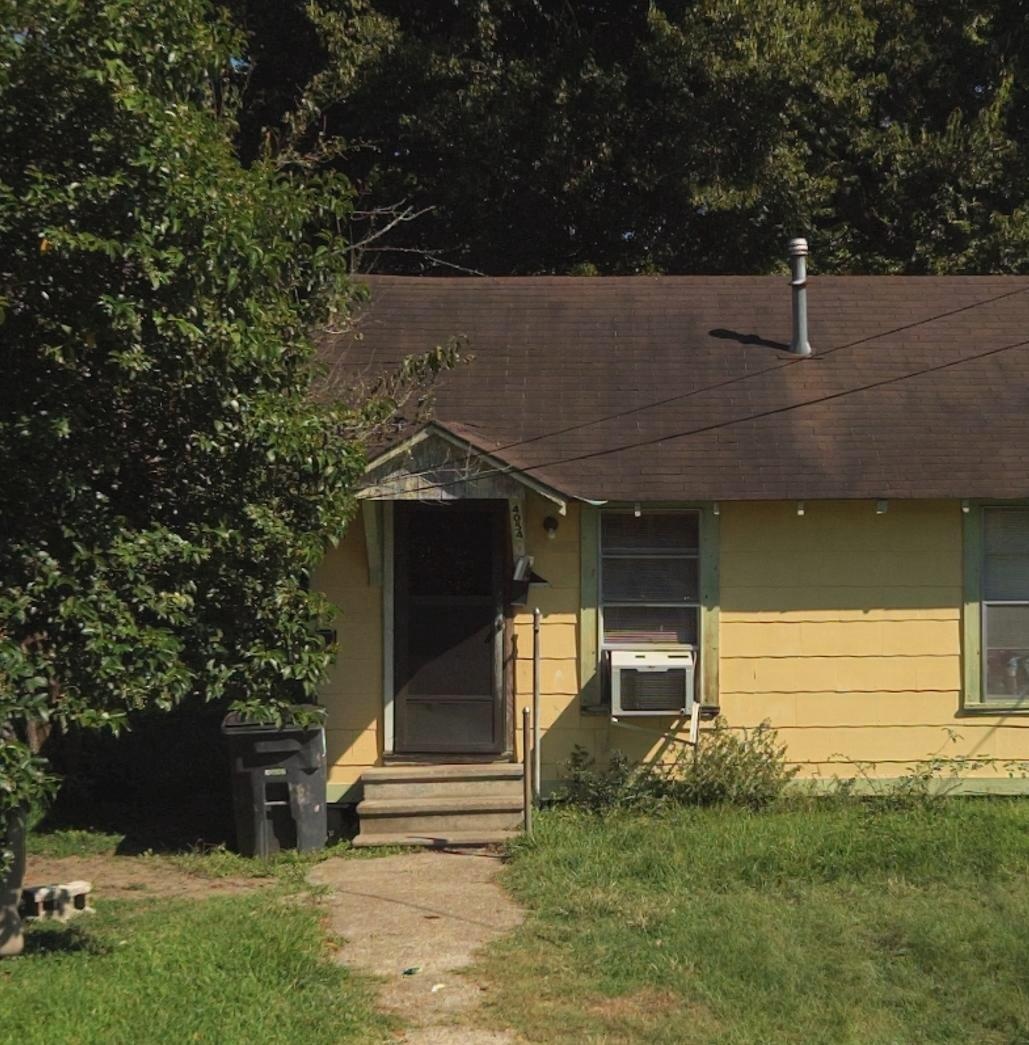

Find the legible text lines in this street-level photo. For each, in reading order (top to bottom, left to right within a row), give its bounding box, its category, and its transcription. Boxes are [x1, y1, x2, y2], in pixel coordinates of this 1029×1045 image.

[511, 503, 524, 539] StreetNumber: 4054